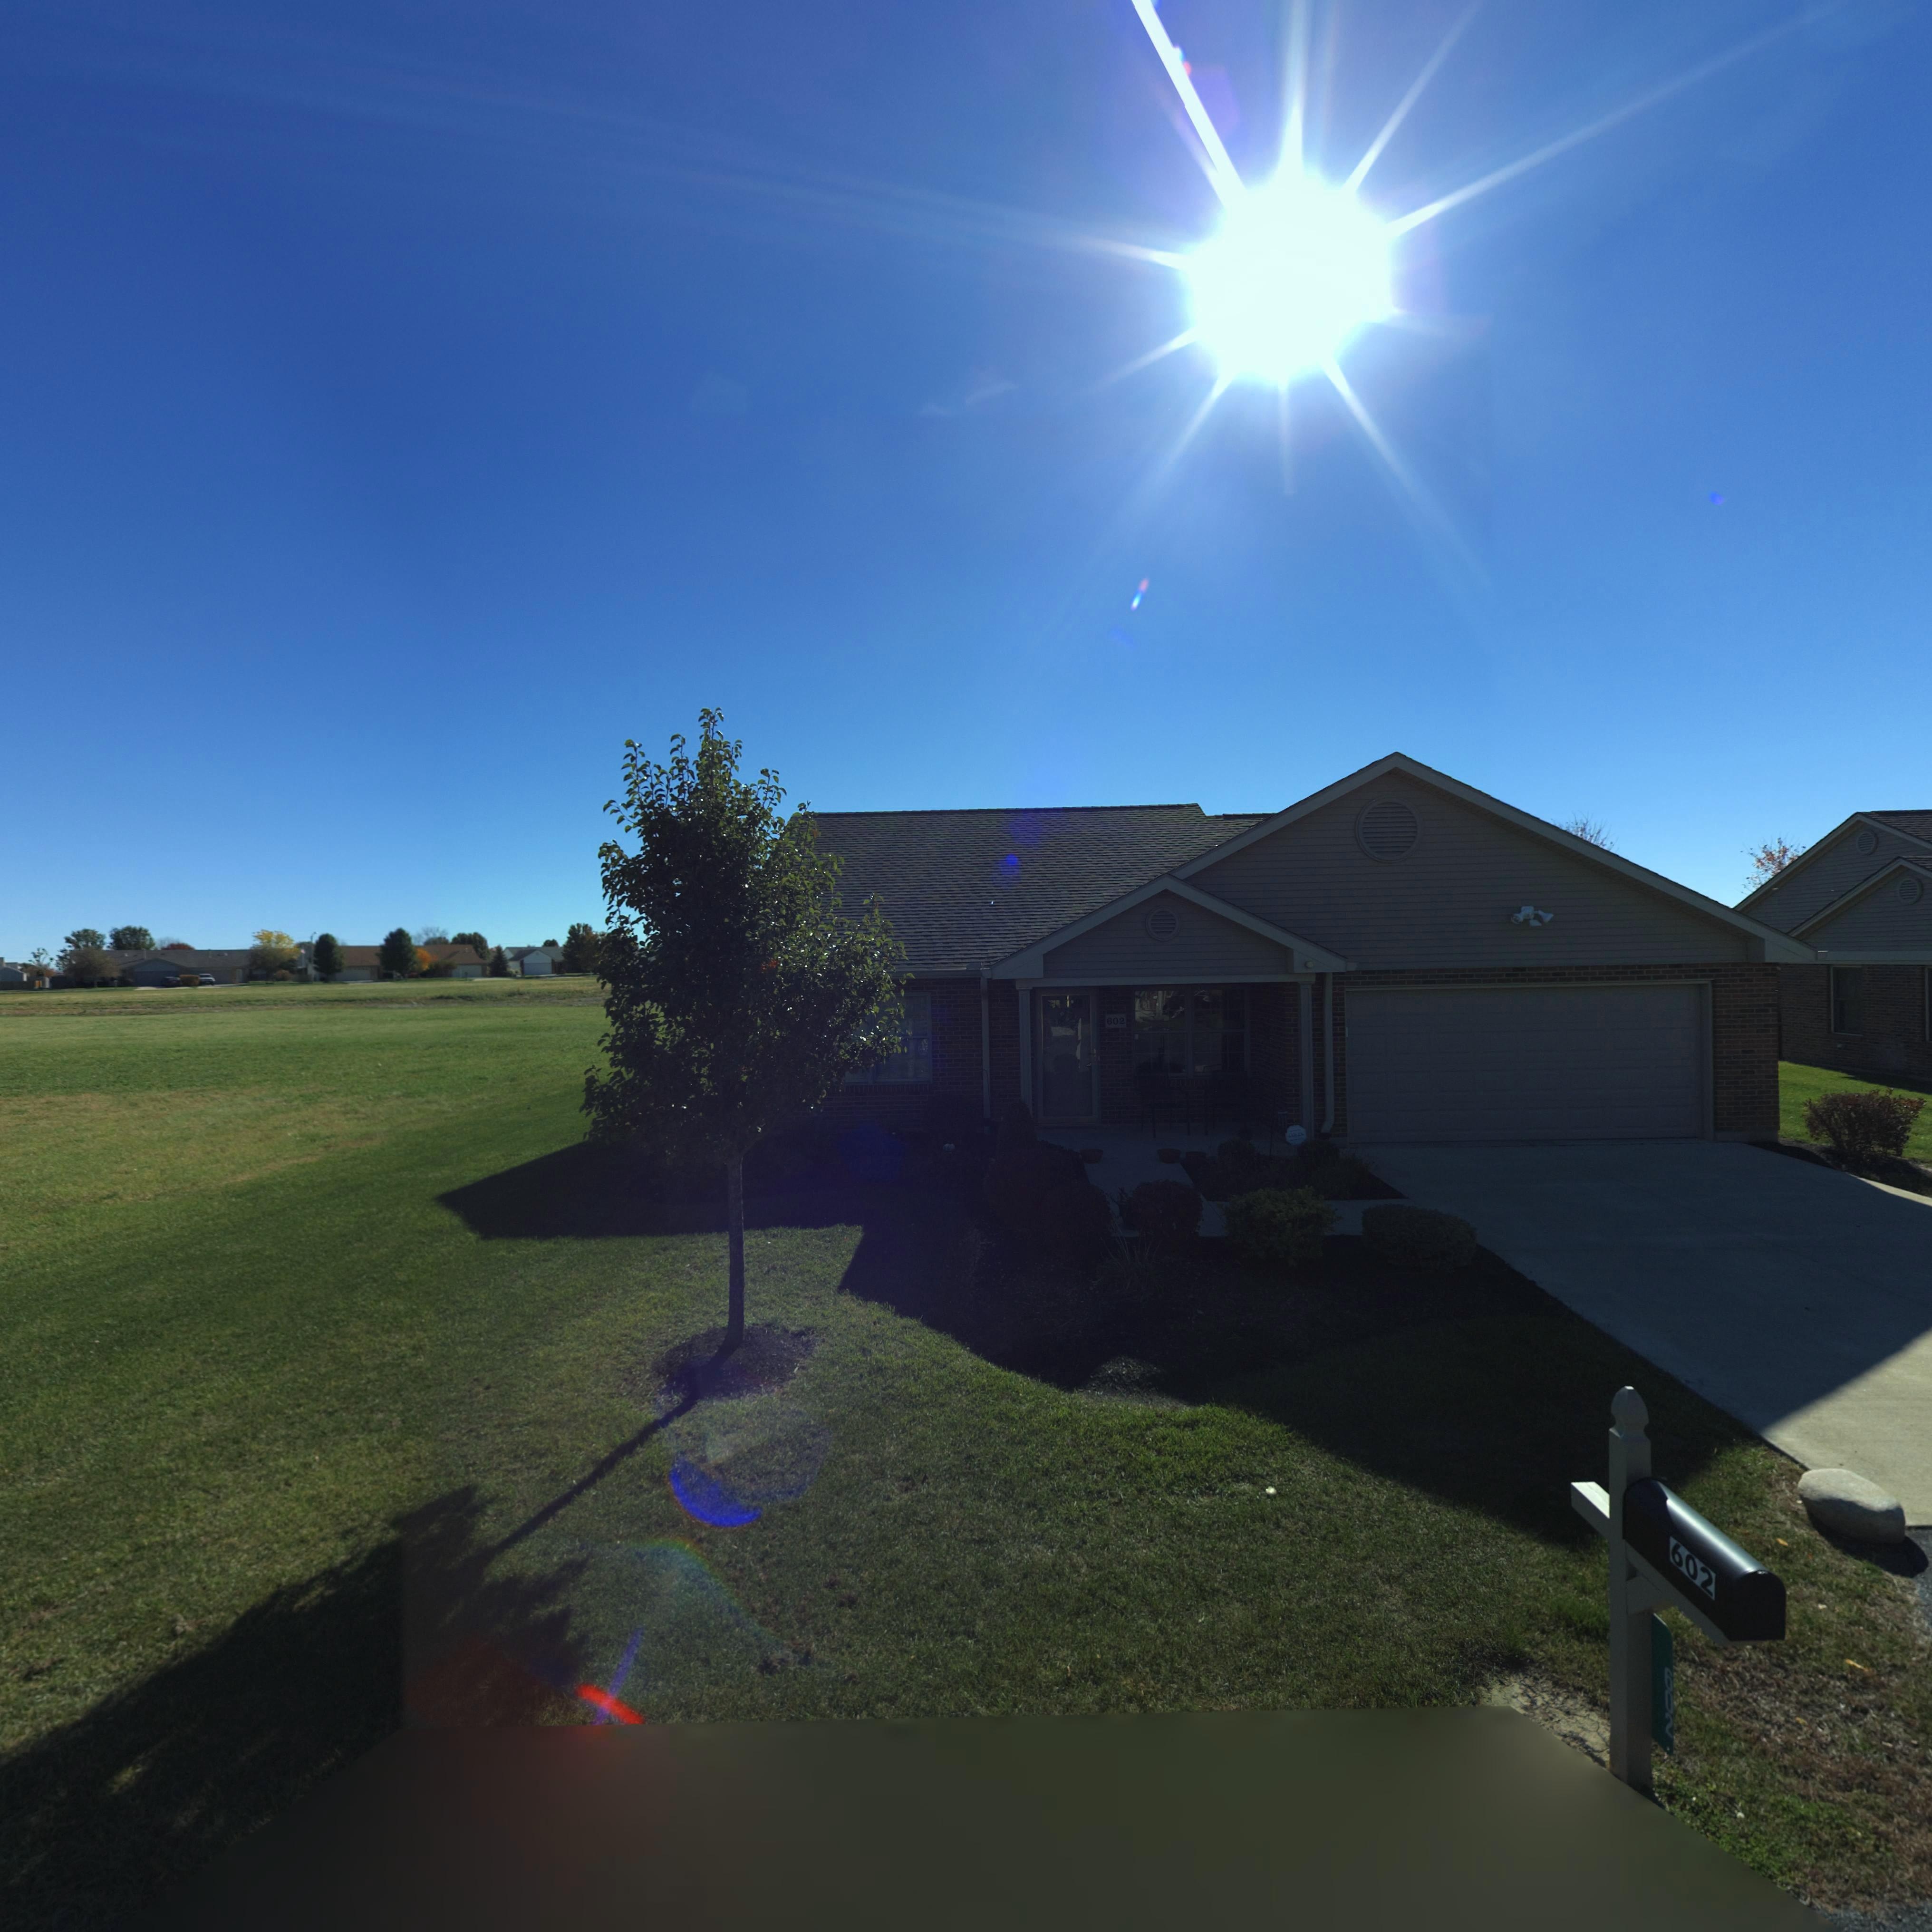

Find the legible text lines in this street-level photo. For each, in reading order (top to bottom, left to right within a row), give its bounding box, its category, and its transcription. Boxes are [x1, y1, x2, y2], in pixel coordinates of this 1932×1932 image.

[1106, 1016, 1125, 1025] StreetNumber: 602
[1671, 1540, 1715, 1599] StreetNumber: 602